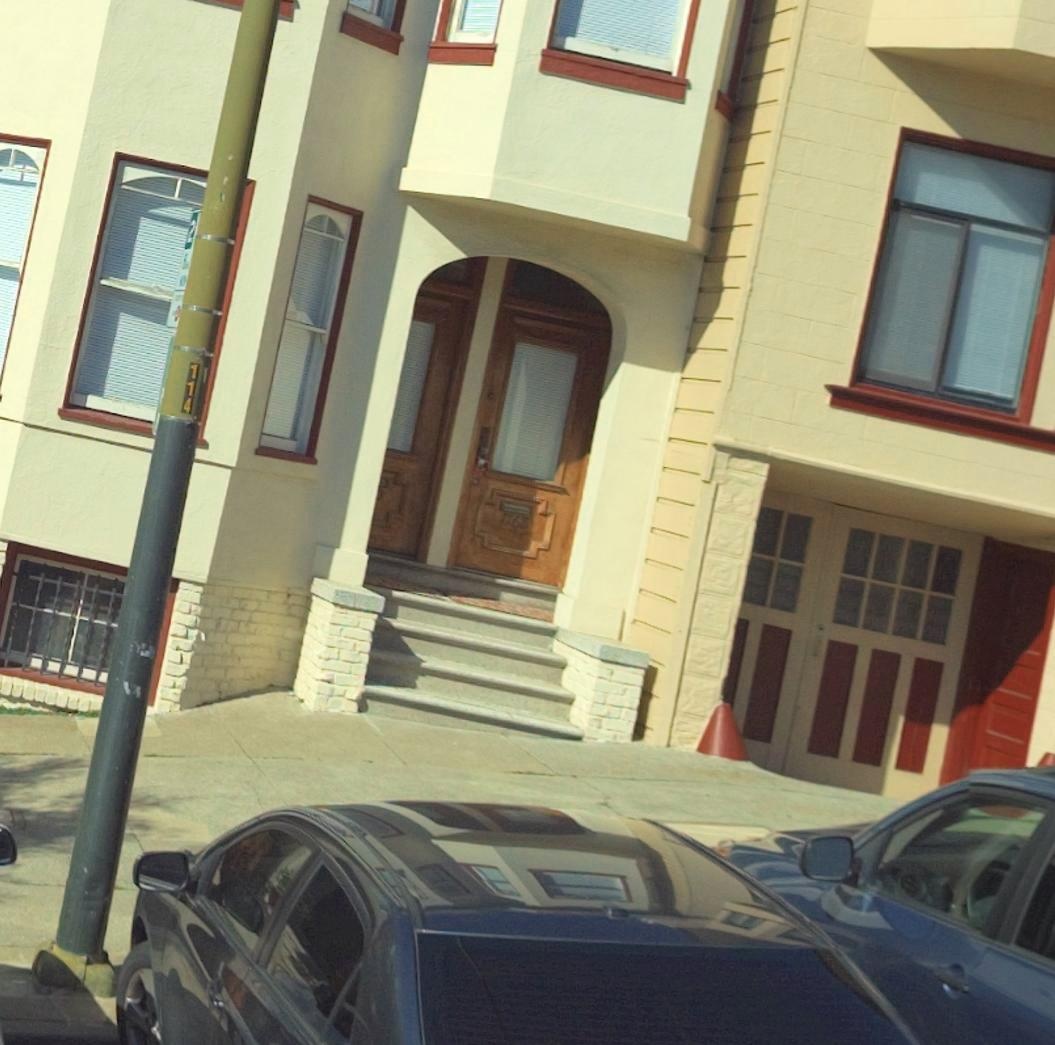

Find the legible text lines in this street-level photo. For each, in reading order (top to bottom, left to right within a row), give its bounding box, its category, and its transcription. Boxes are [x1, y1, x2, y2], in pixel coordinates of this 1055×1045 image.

[181, 362, 200, 415] None: 114
[498, 512, 532, 532] StreetNumber: 1168